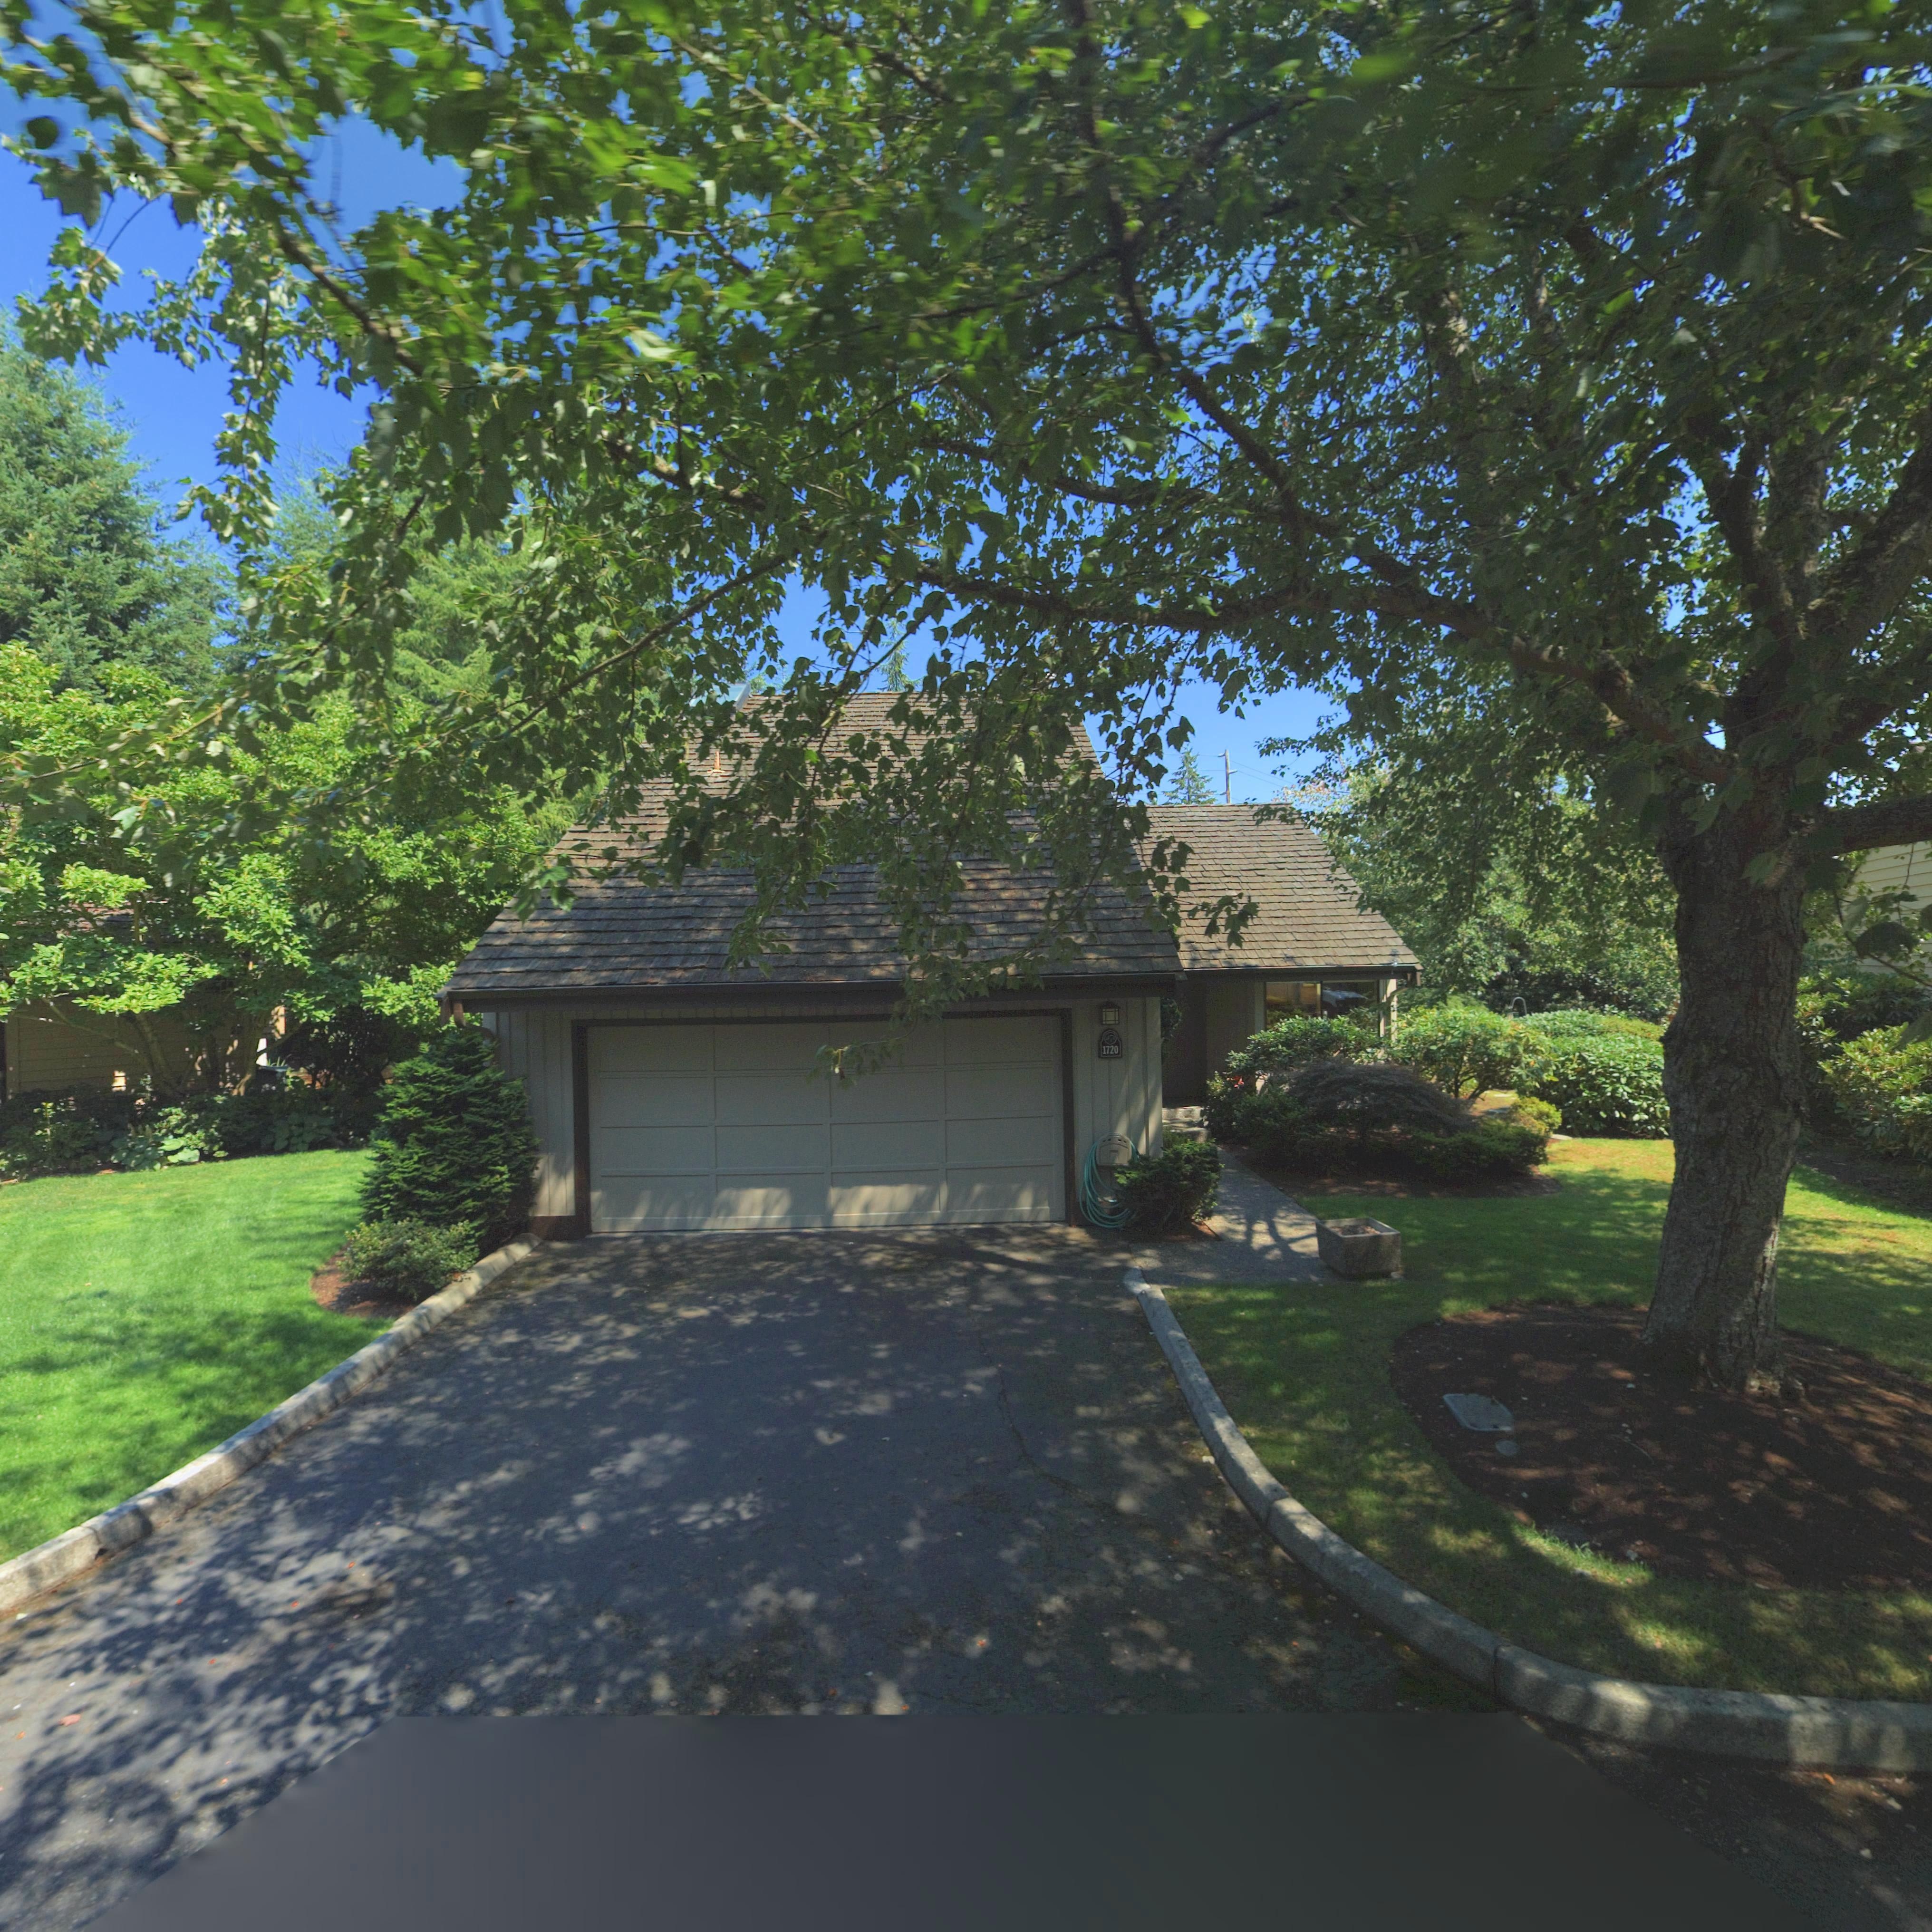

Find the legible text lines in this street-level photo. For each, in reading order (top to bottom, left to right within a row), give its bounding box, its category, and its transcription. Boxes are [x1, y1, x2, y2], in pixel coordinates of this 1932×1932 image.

[1102, 1045, 1119, 1054] StreetNumber: 1720